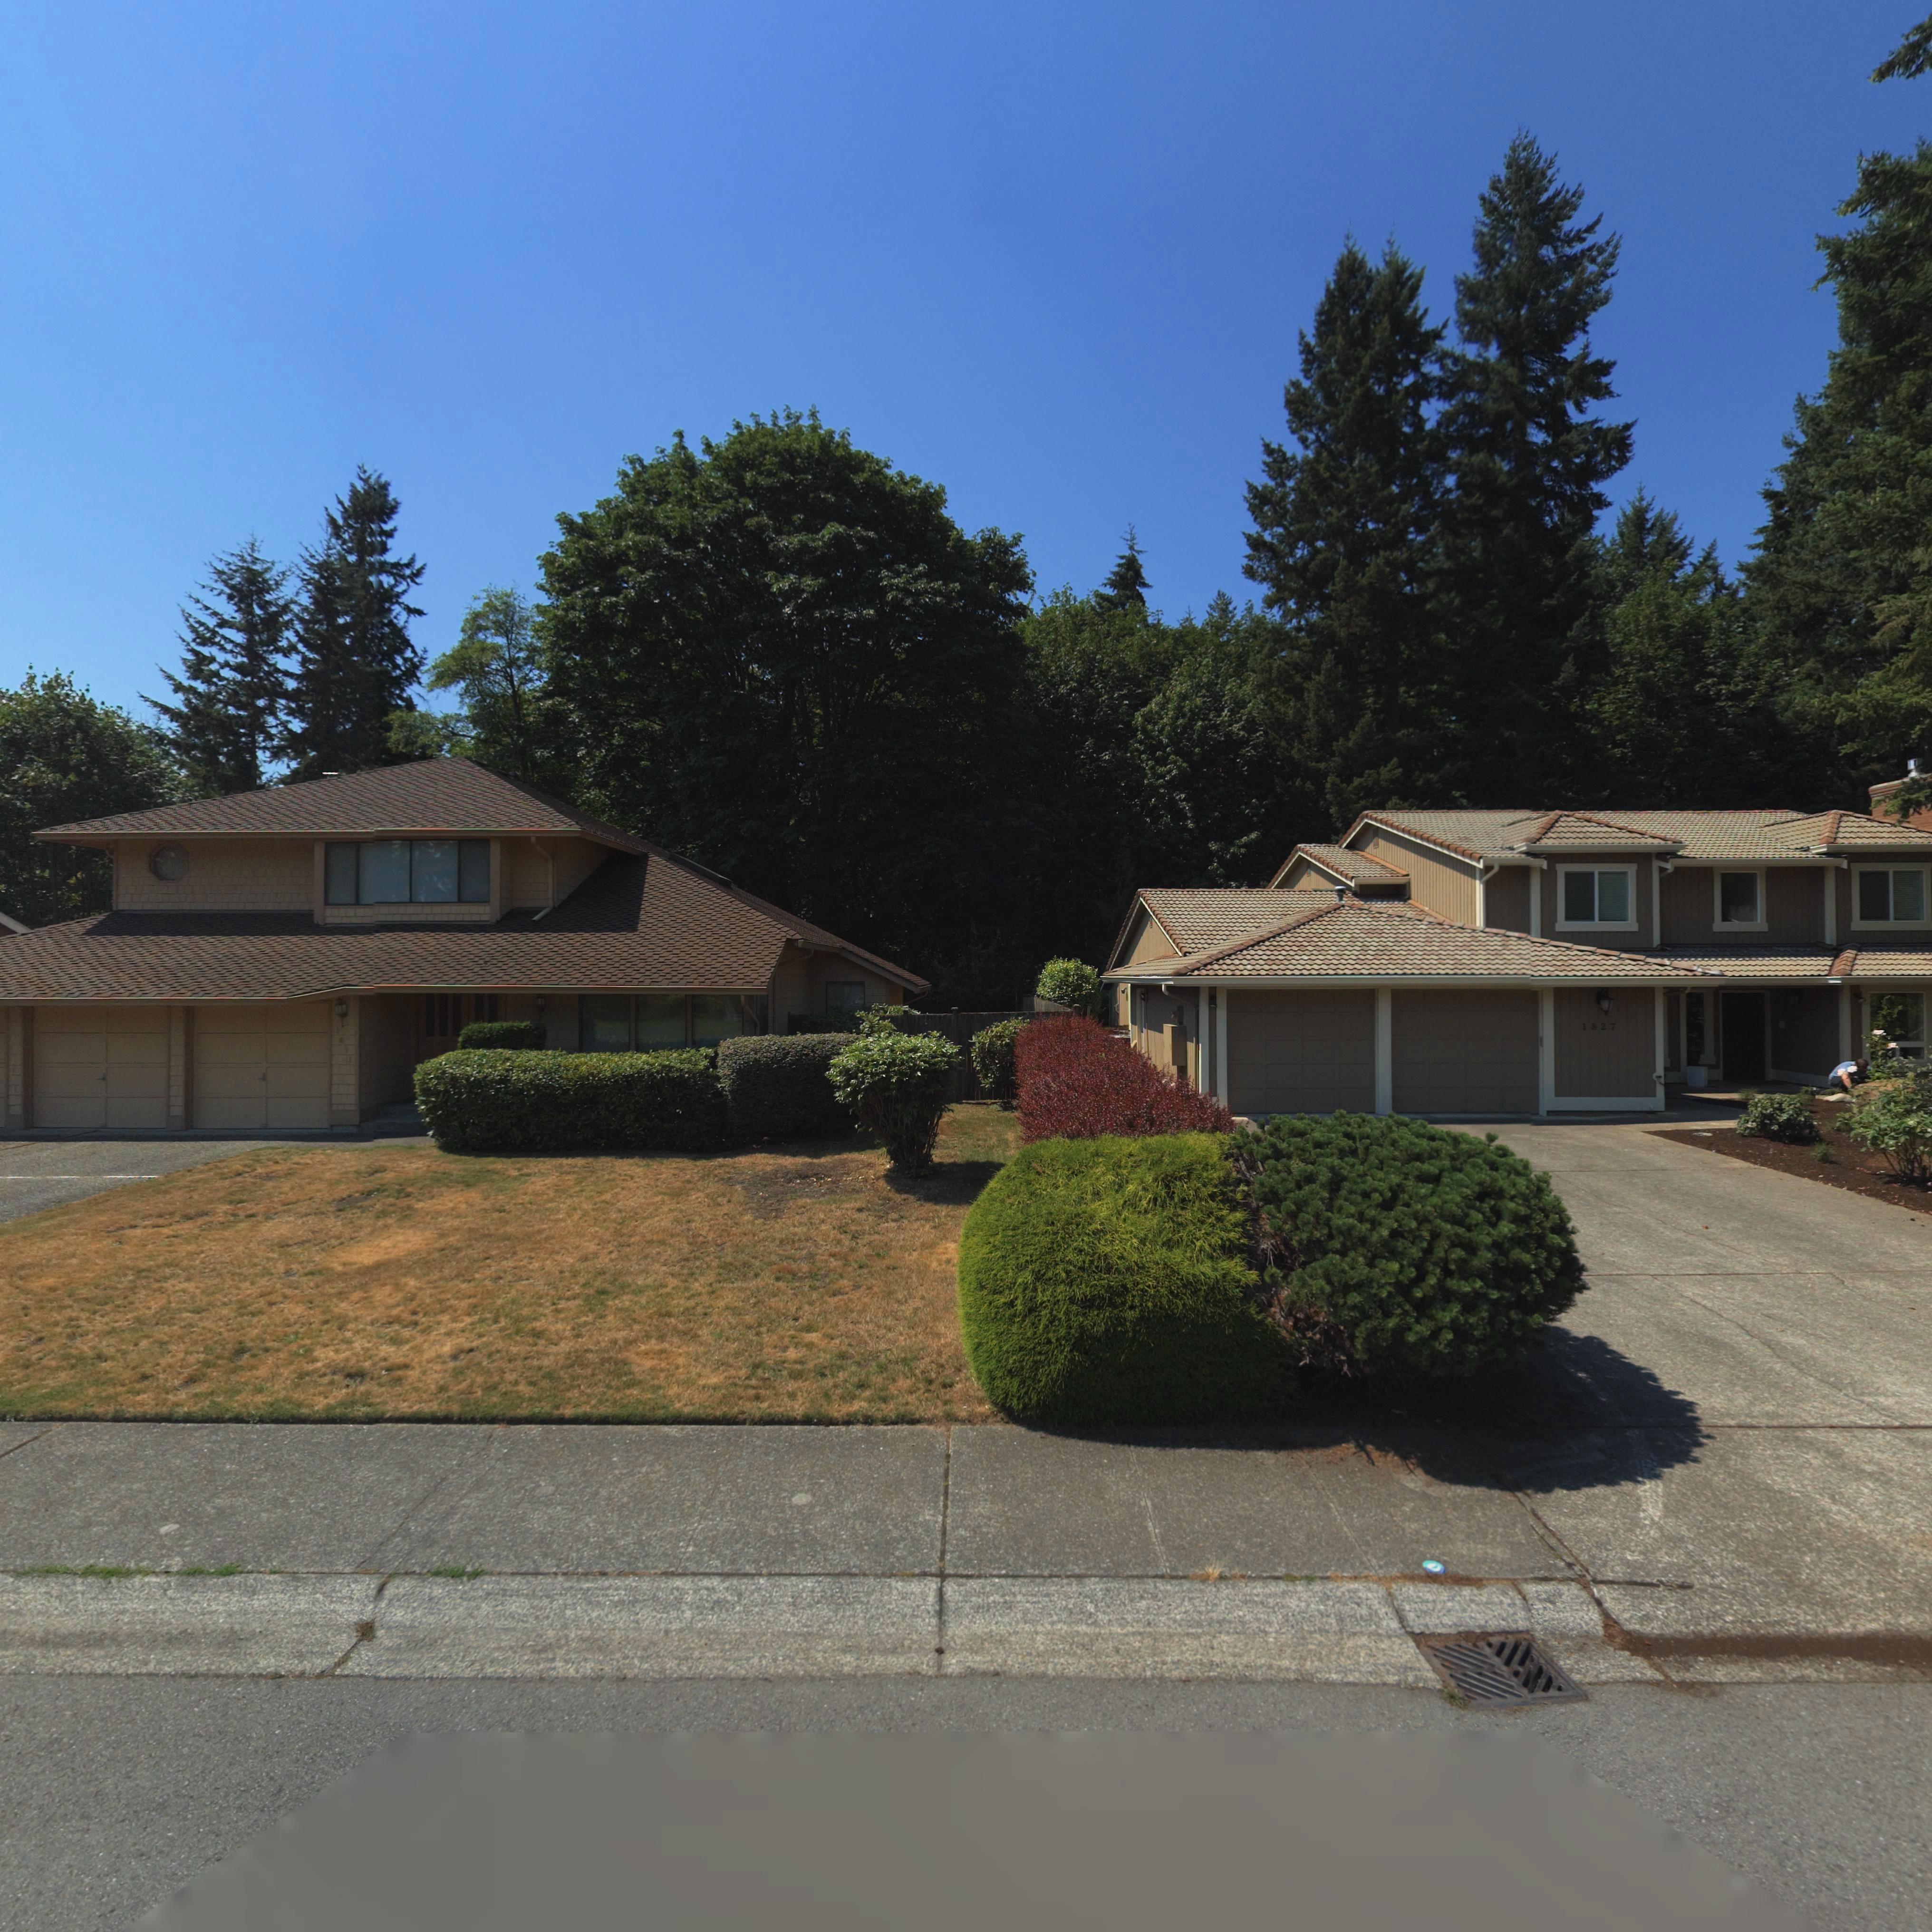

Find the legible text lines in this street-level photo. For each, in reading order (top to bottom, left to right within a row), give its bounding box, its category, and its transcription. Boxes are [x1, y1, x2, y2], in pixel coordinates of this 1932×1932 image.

[1580, 1023, 1616, 1031] StreetNumber: 1827